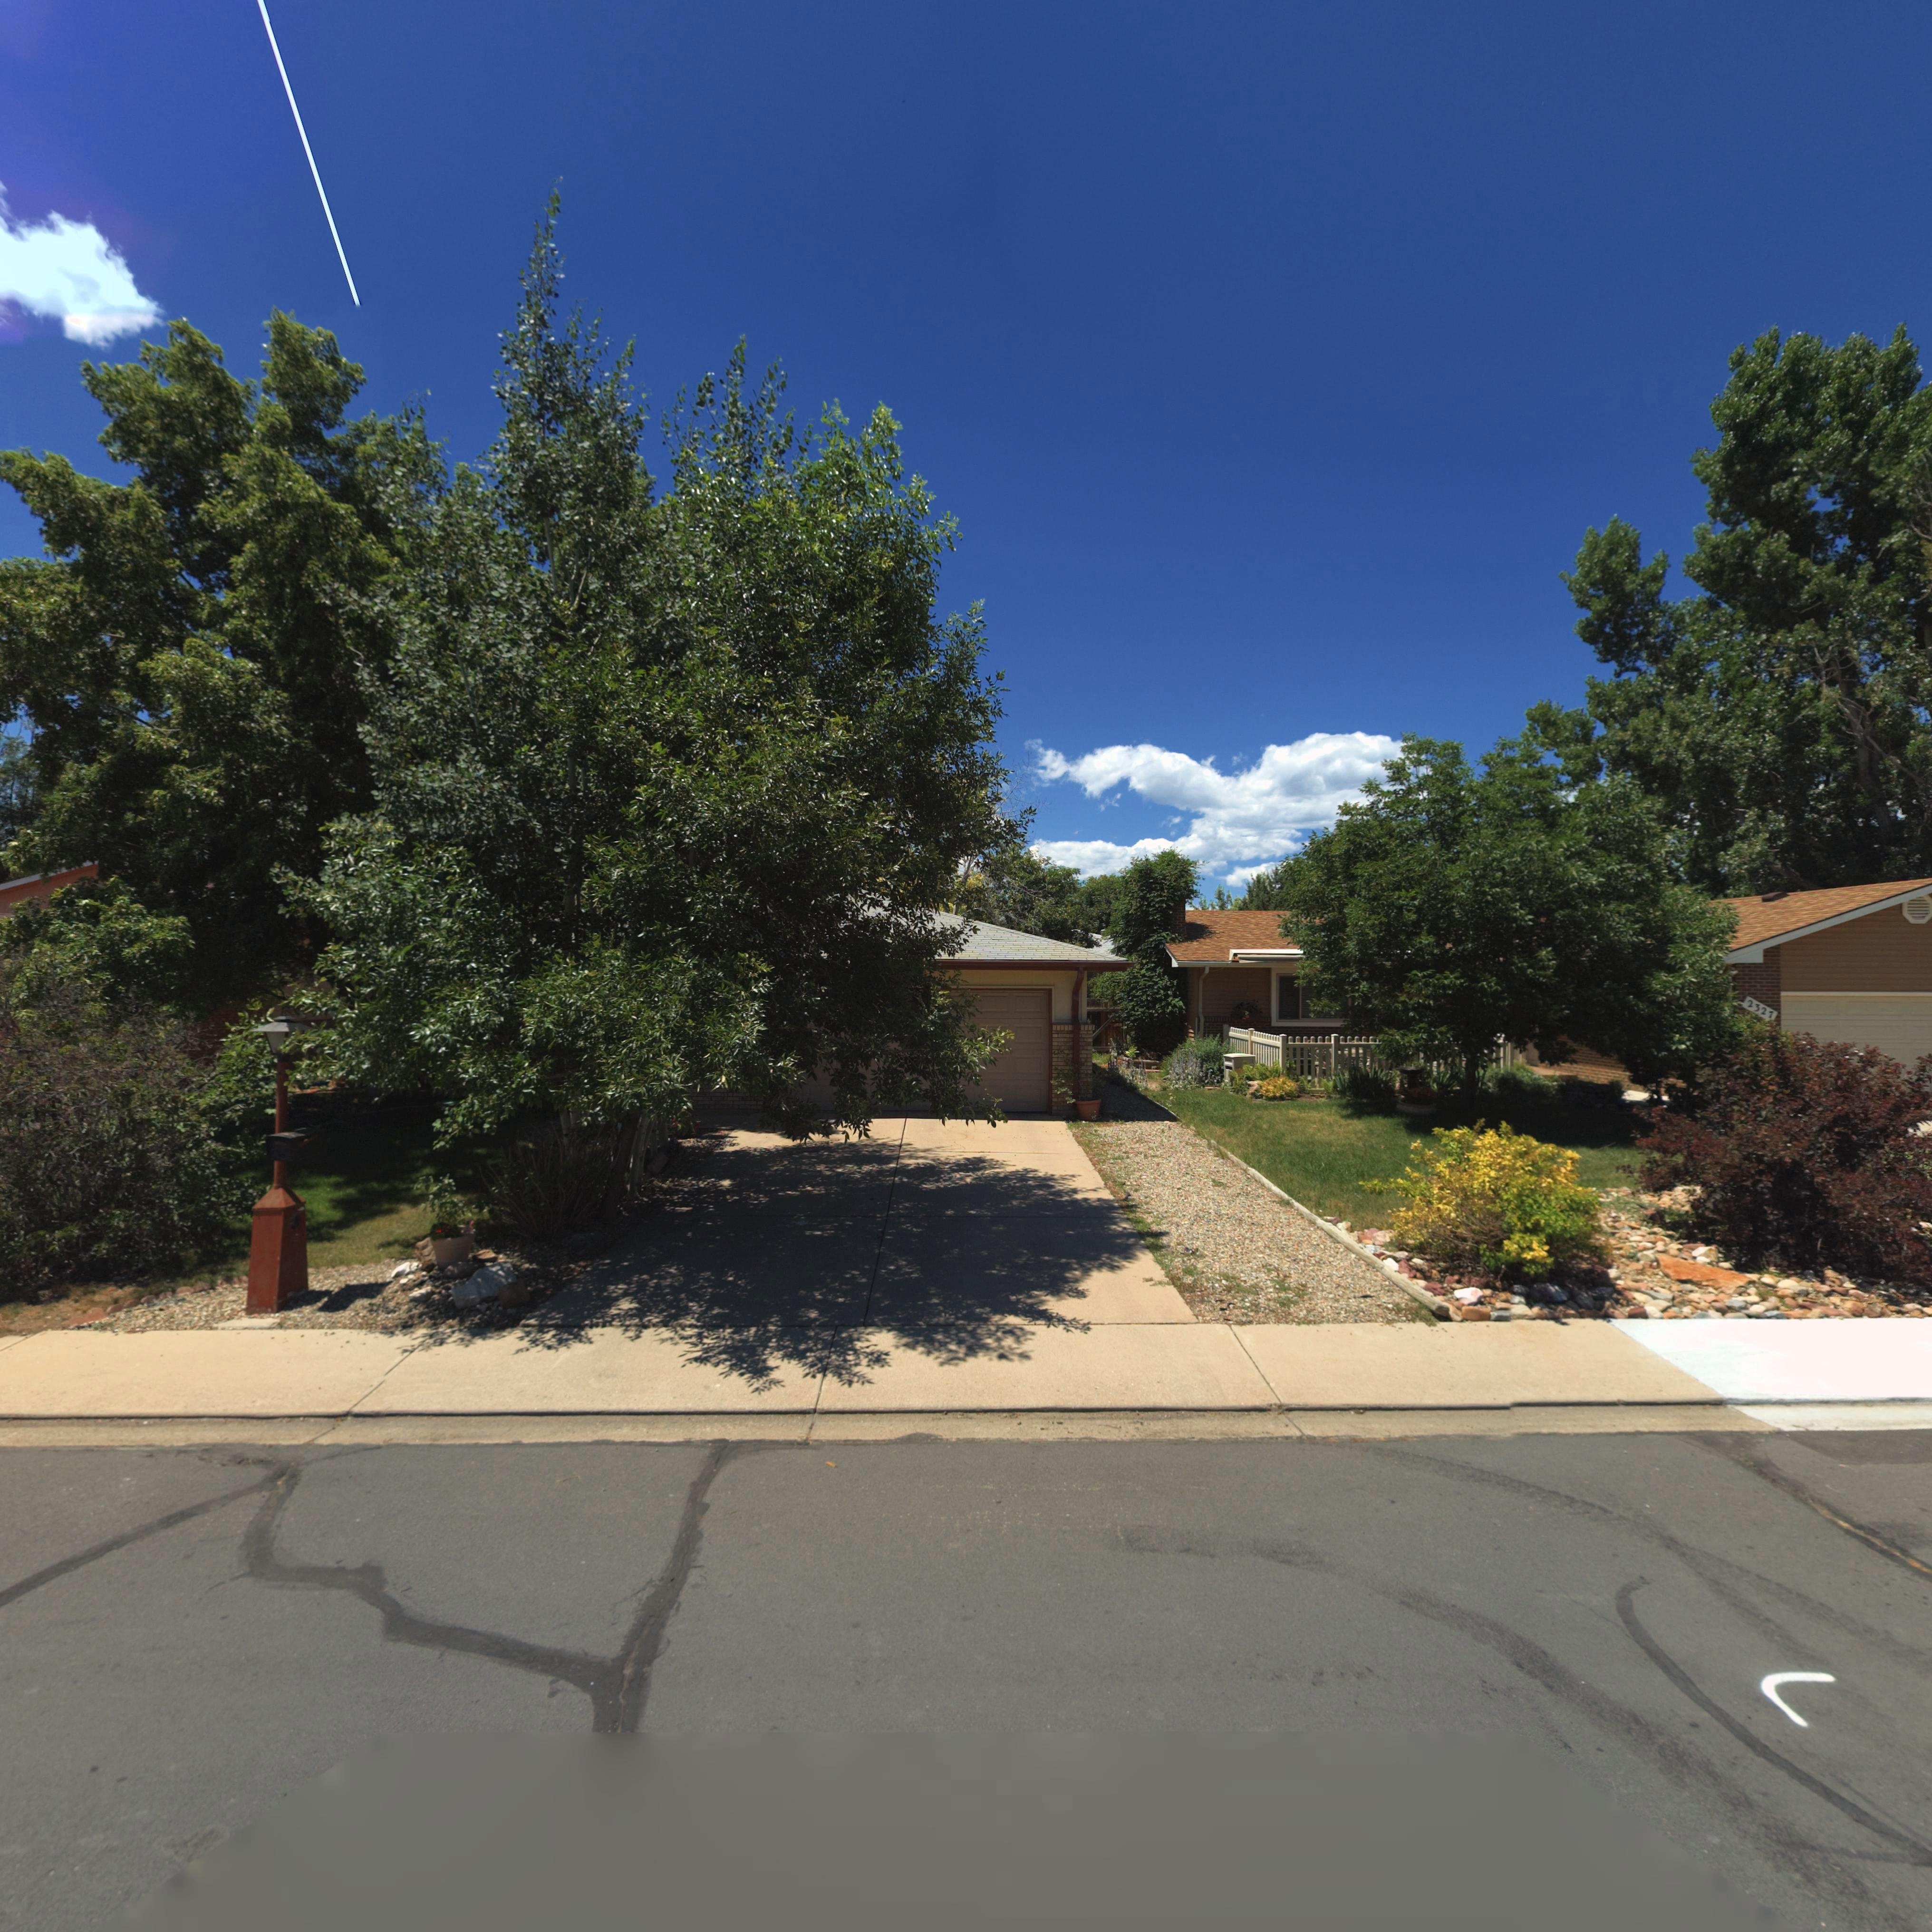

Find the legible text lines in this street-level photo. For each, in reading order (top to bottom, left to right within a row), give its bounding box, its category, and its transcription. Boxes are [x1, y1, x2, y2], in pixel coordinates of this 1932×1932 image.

[1748, 998, 1774, 1019] StreetNumber: 2327